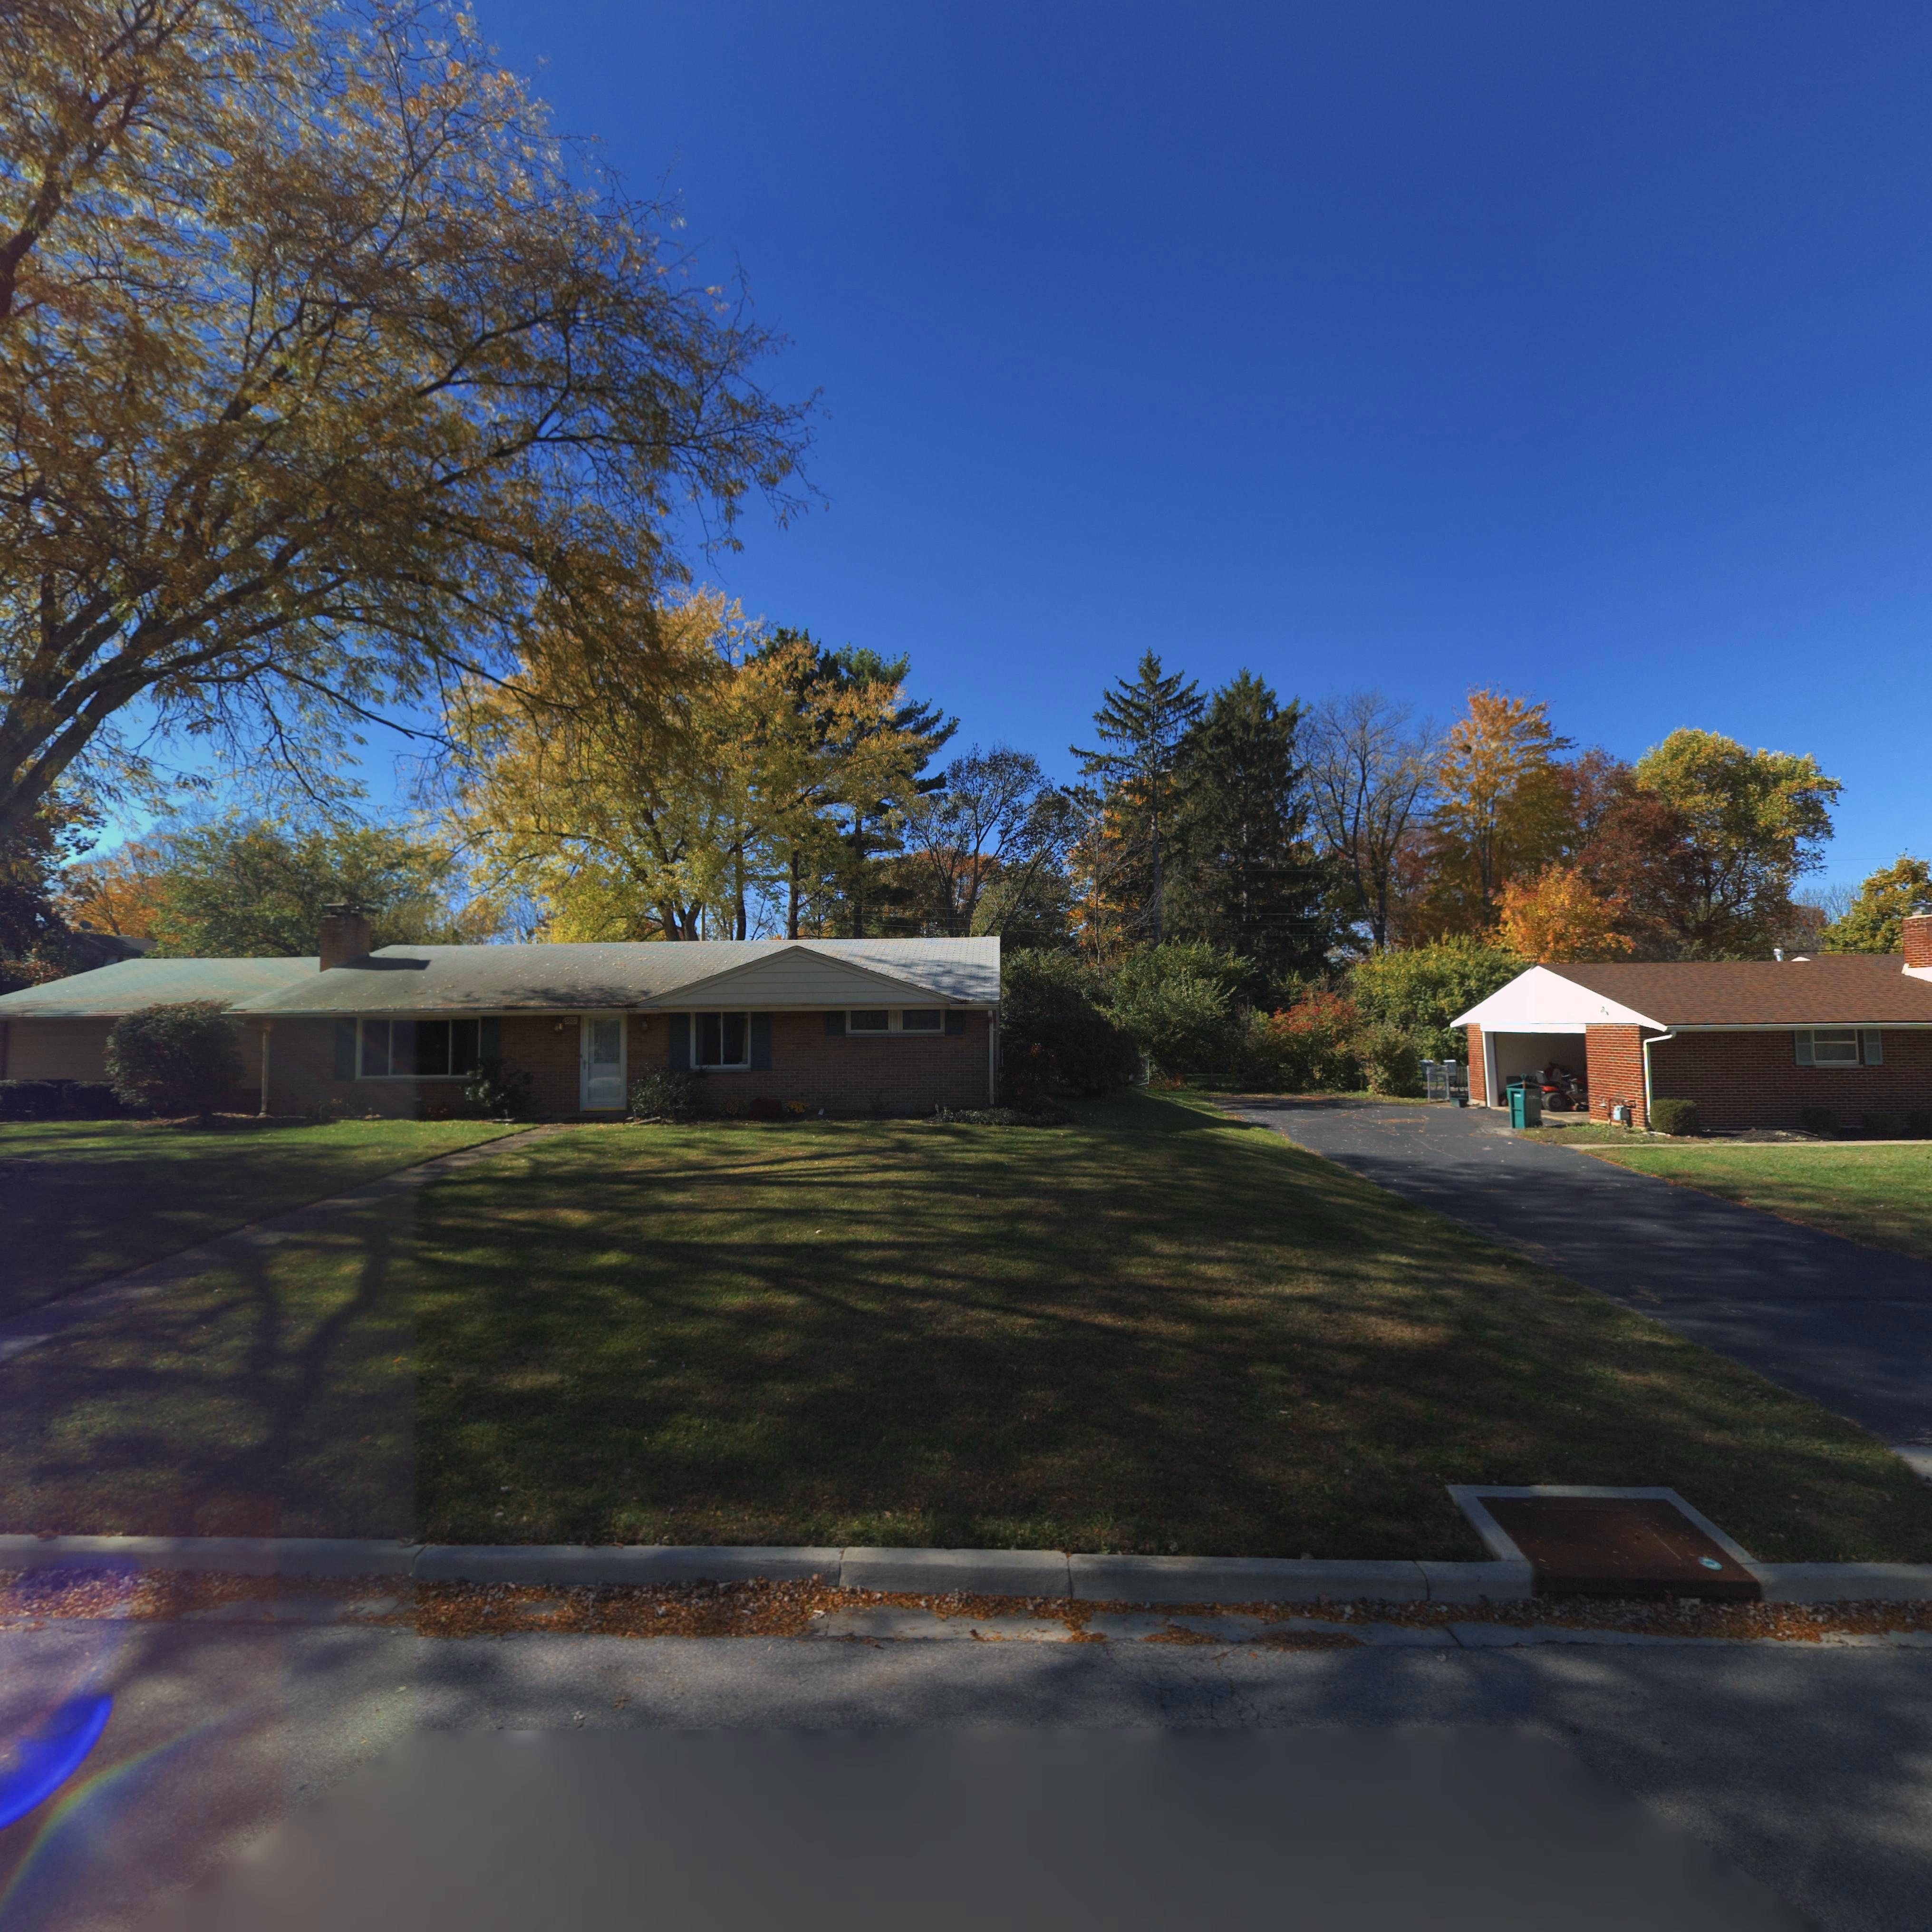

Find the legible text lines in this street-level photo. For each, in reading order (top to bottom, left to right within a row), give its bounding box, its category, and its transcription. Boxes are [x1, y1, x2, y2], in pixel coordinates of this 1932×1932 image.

[564, 1017, 577, 1024] StreetNumber: 5881